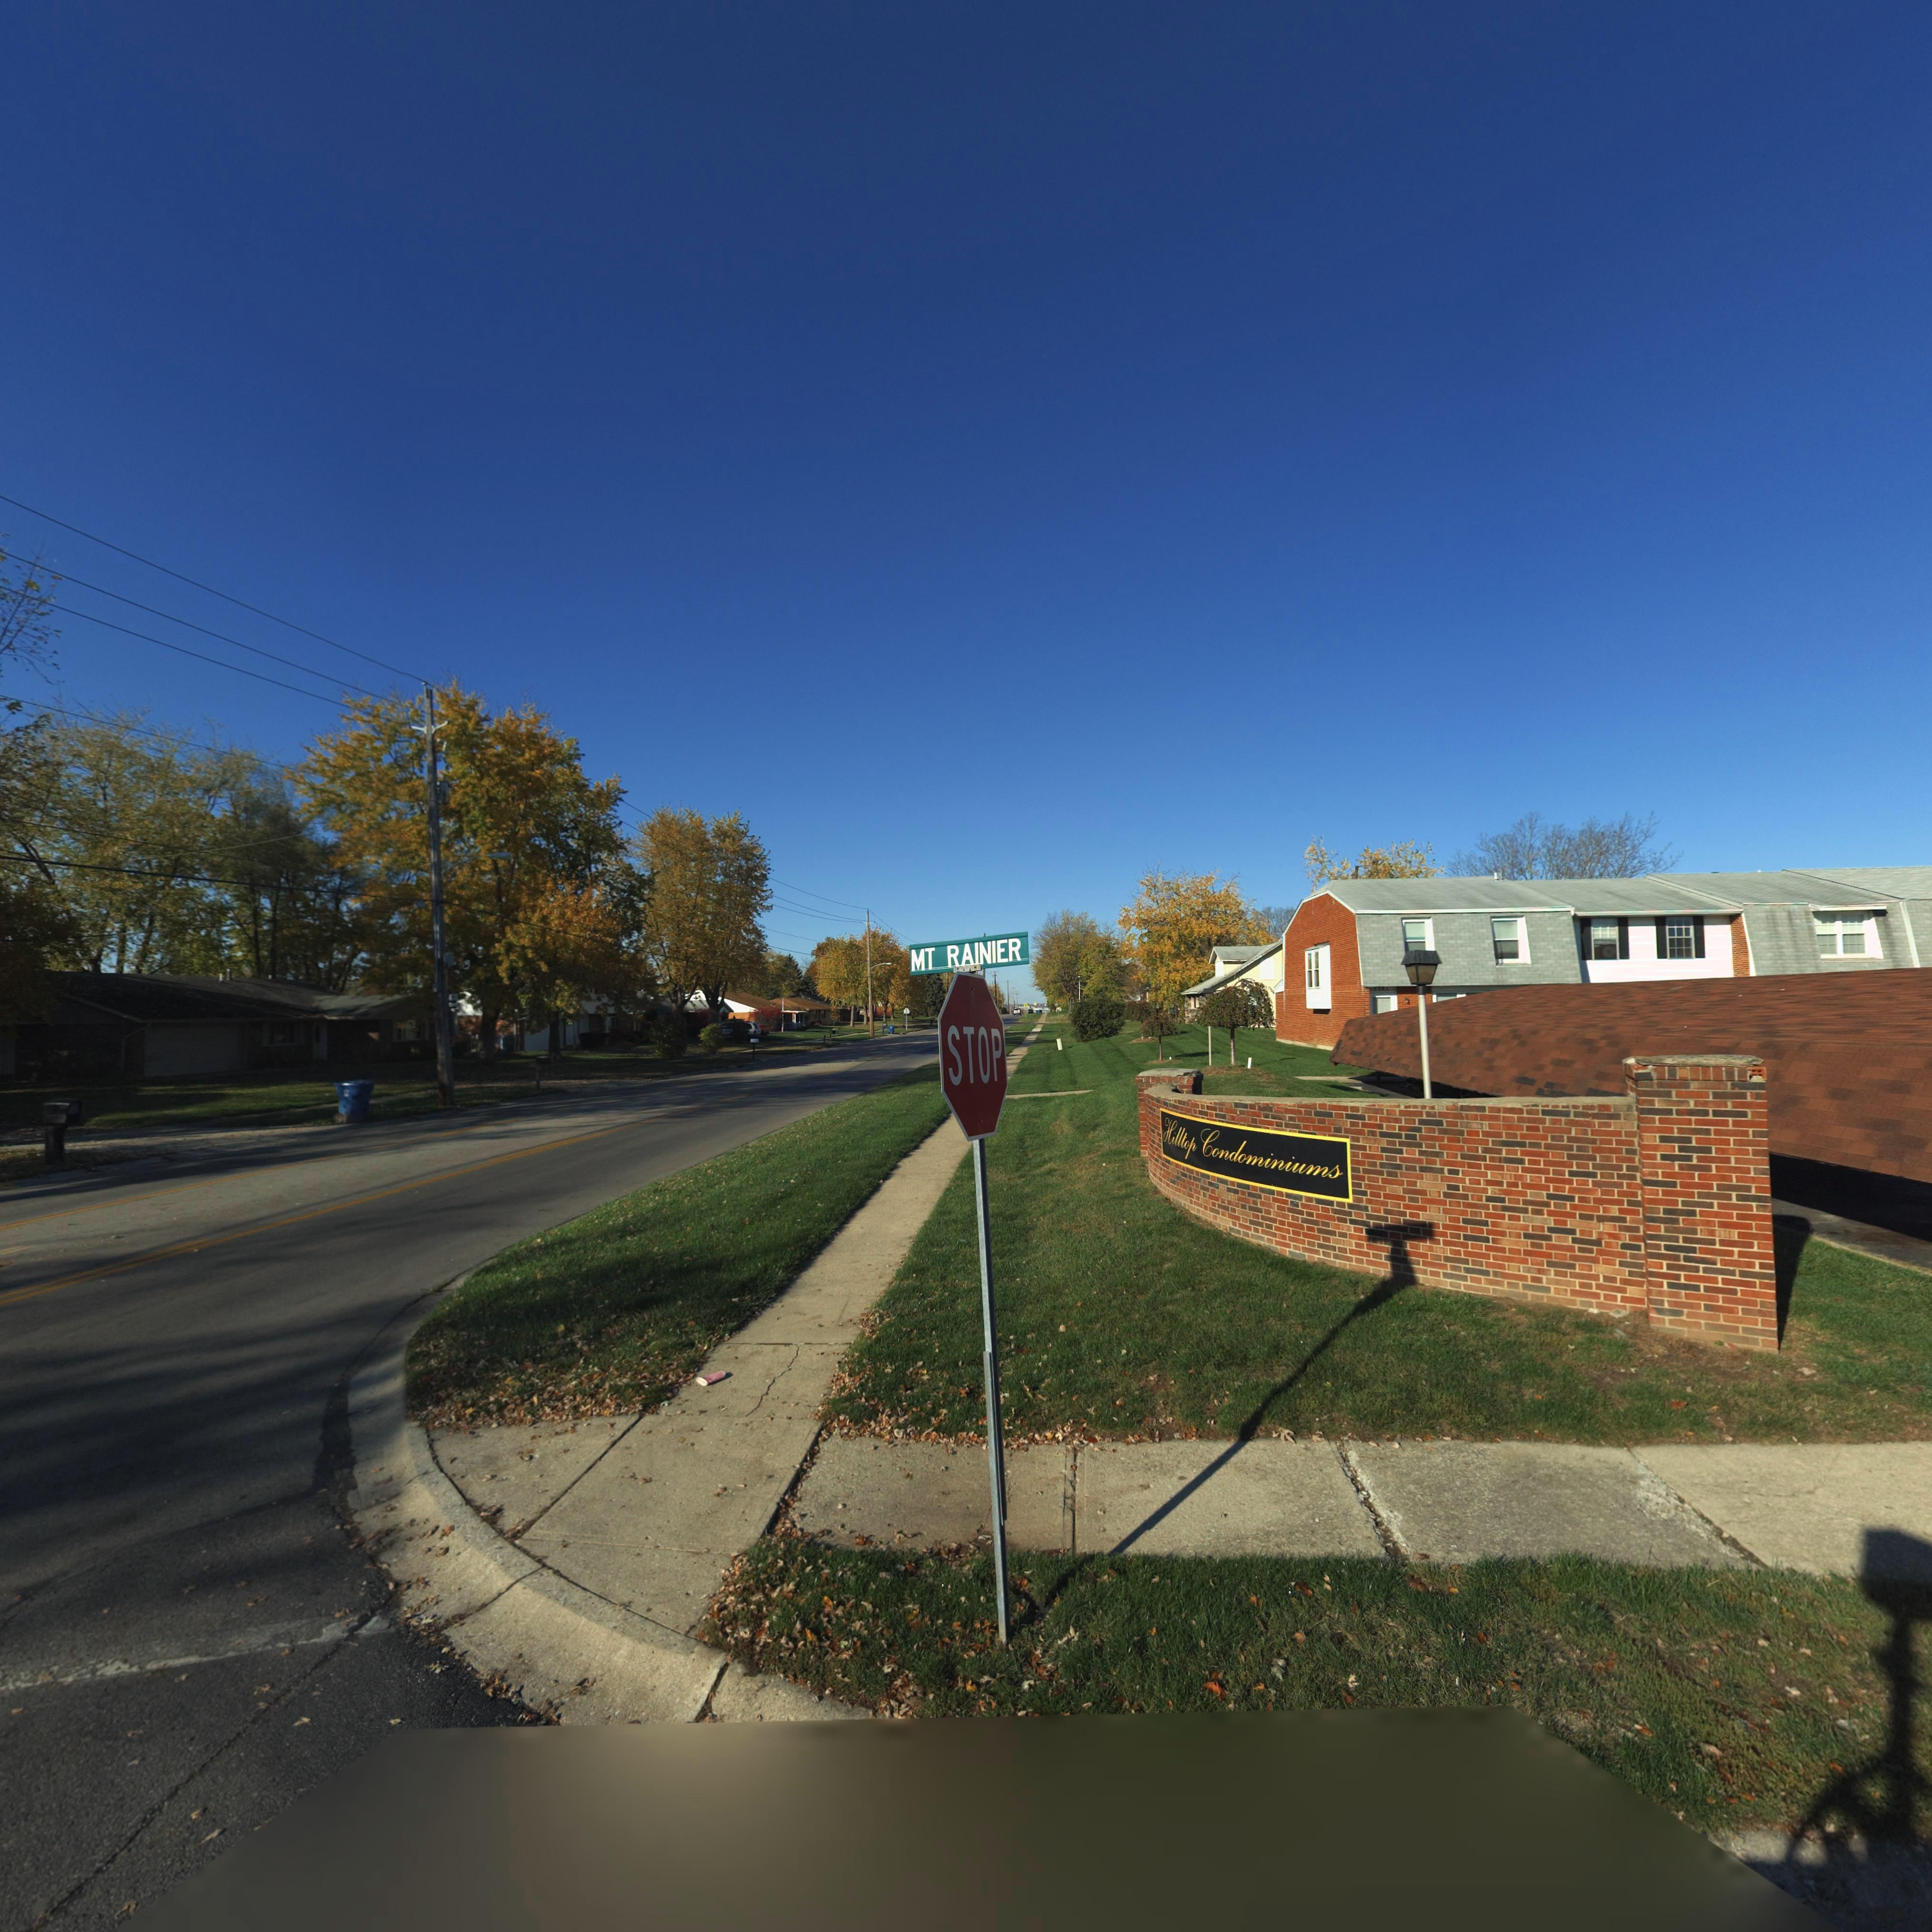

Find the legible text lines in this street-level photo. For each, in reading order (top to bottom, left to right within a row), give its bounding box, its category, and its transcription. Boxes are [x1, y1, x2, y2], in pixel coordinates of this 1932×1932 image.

[1373, 986, 1388, 991] StreetNumber: 7501